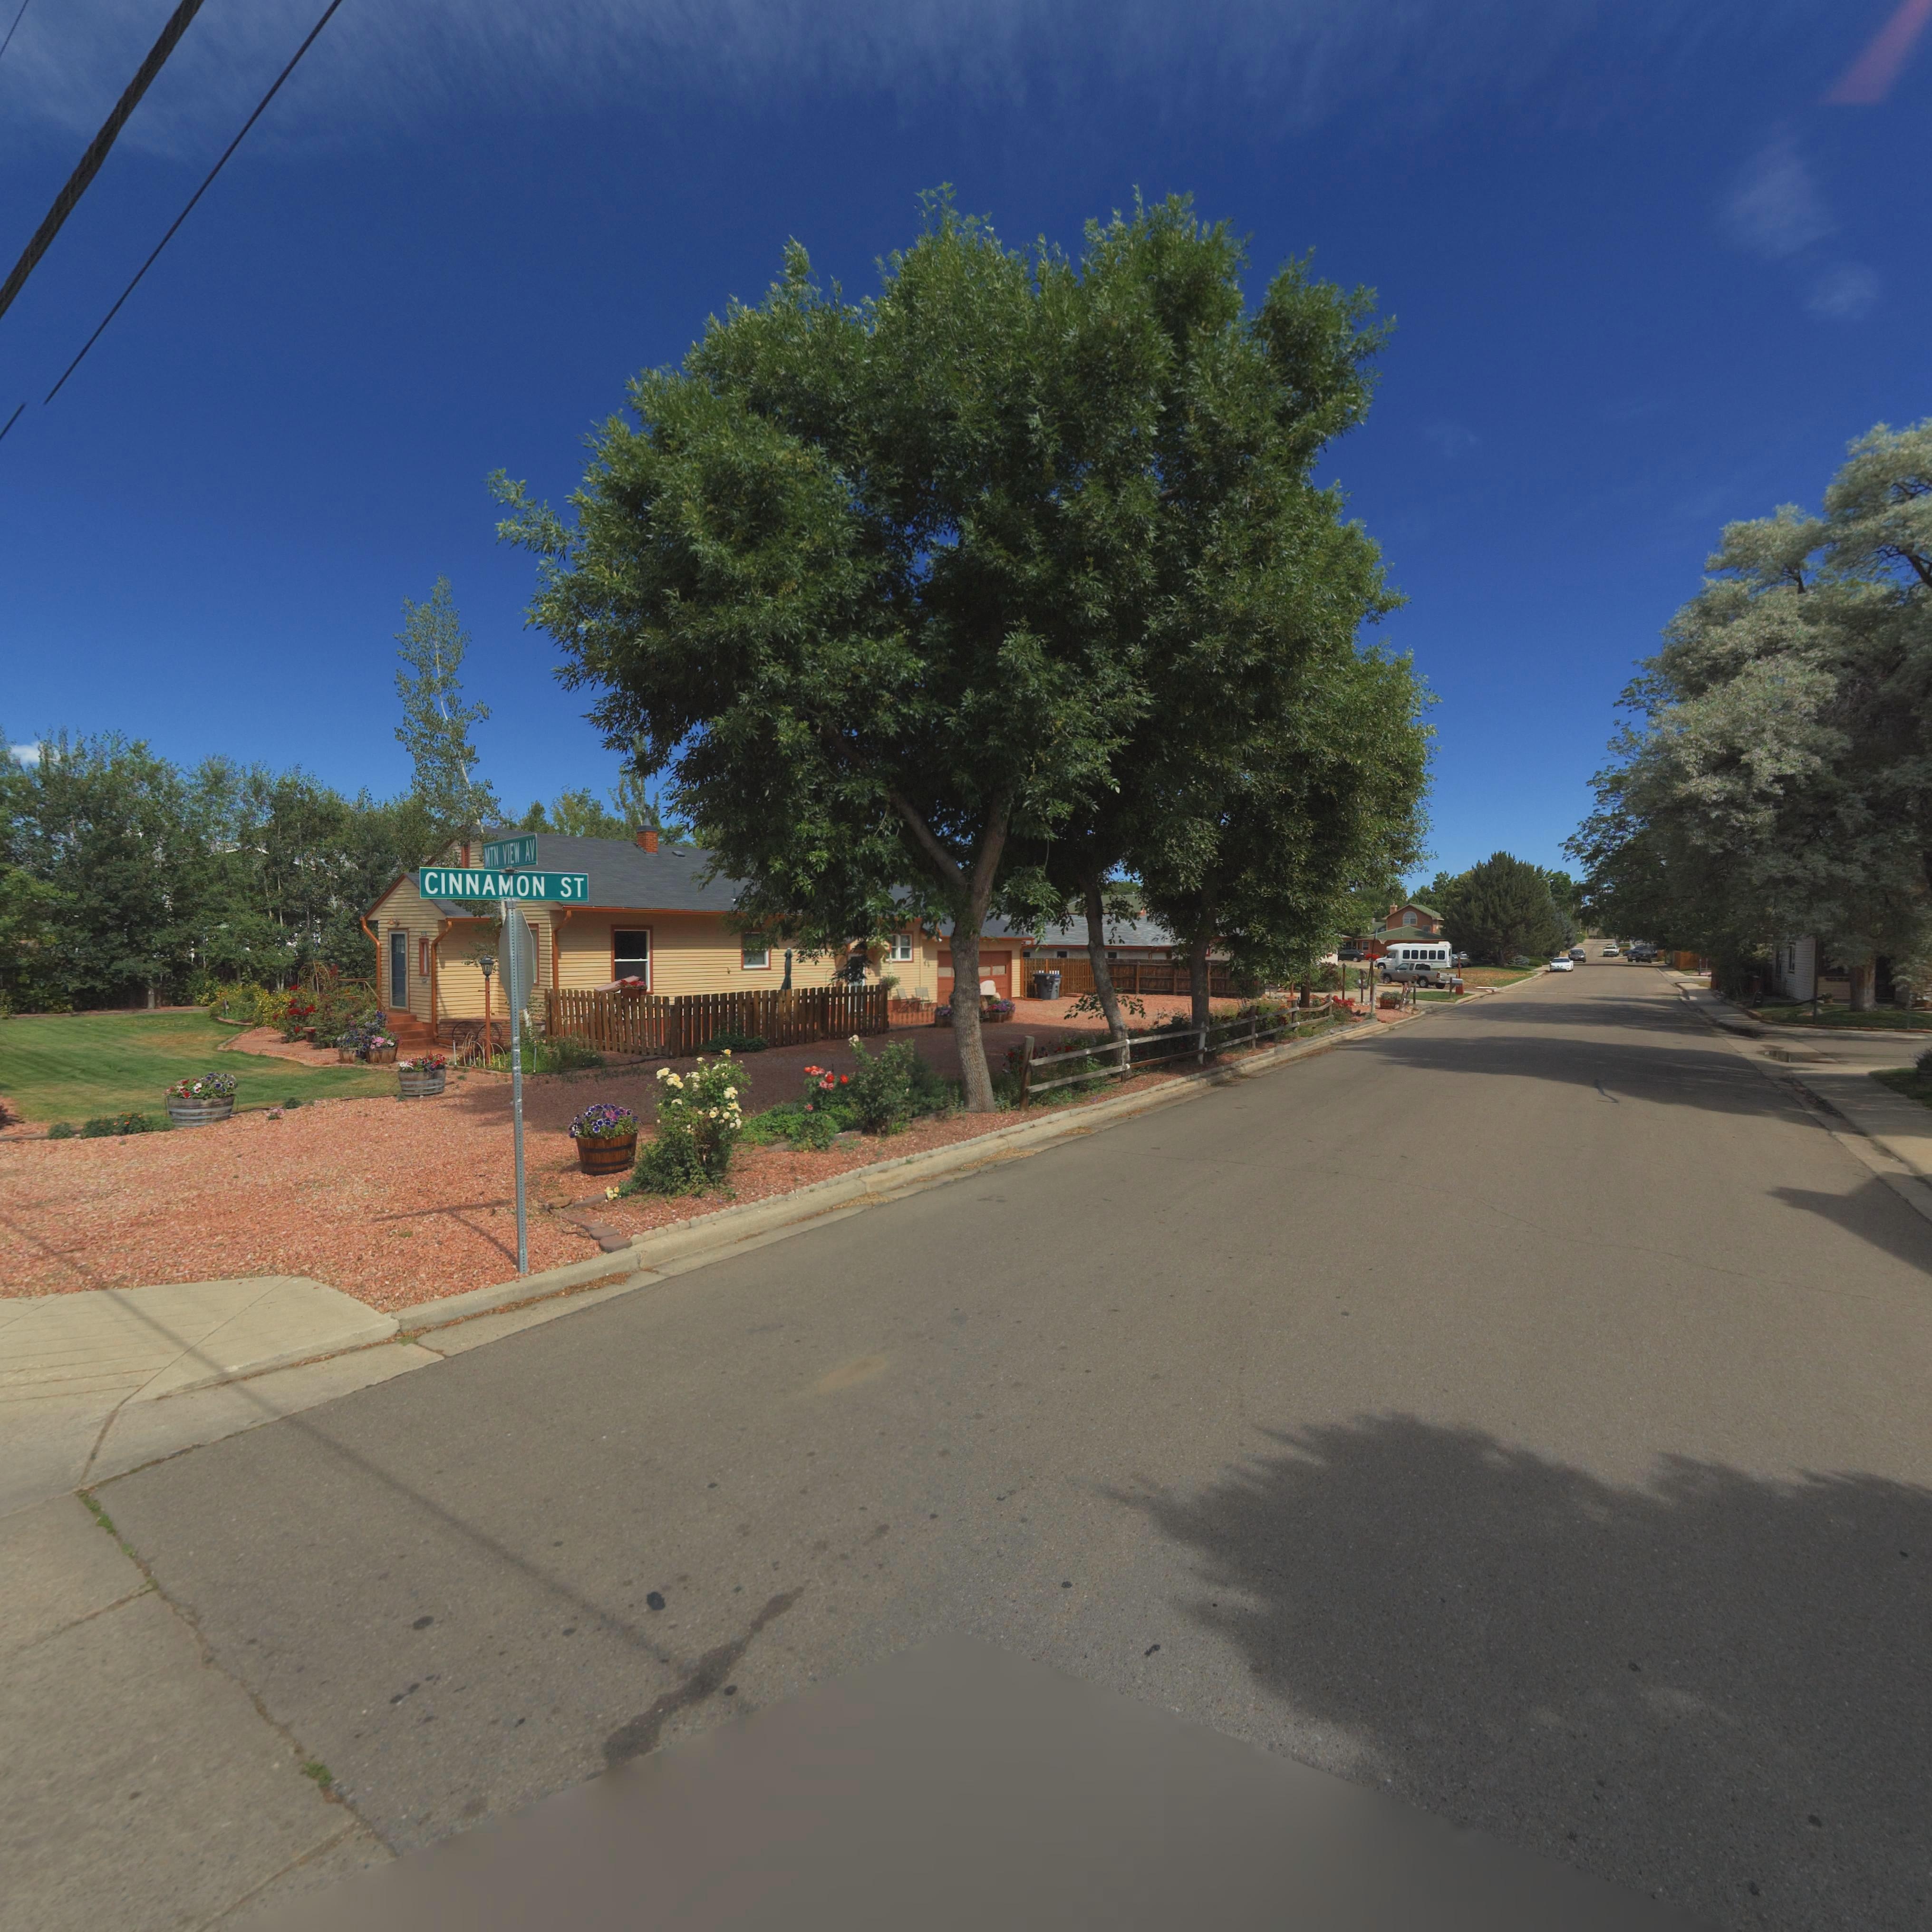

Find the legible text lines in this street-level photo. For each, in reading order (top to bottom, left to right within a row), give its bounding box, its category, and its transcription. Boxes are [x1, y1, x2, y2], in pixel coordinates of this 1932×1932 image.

[484, 838, 535, 868] StreetName: MTN VIEW AV
[425, 872, 584, 898] StreetName: CINNAMON ST